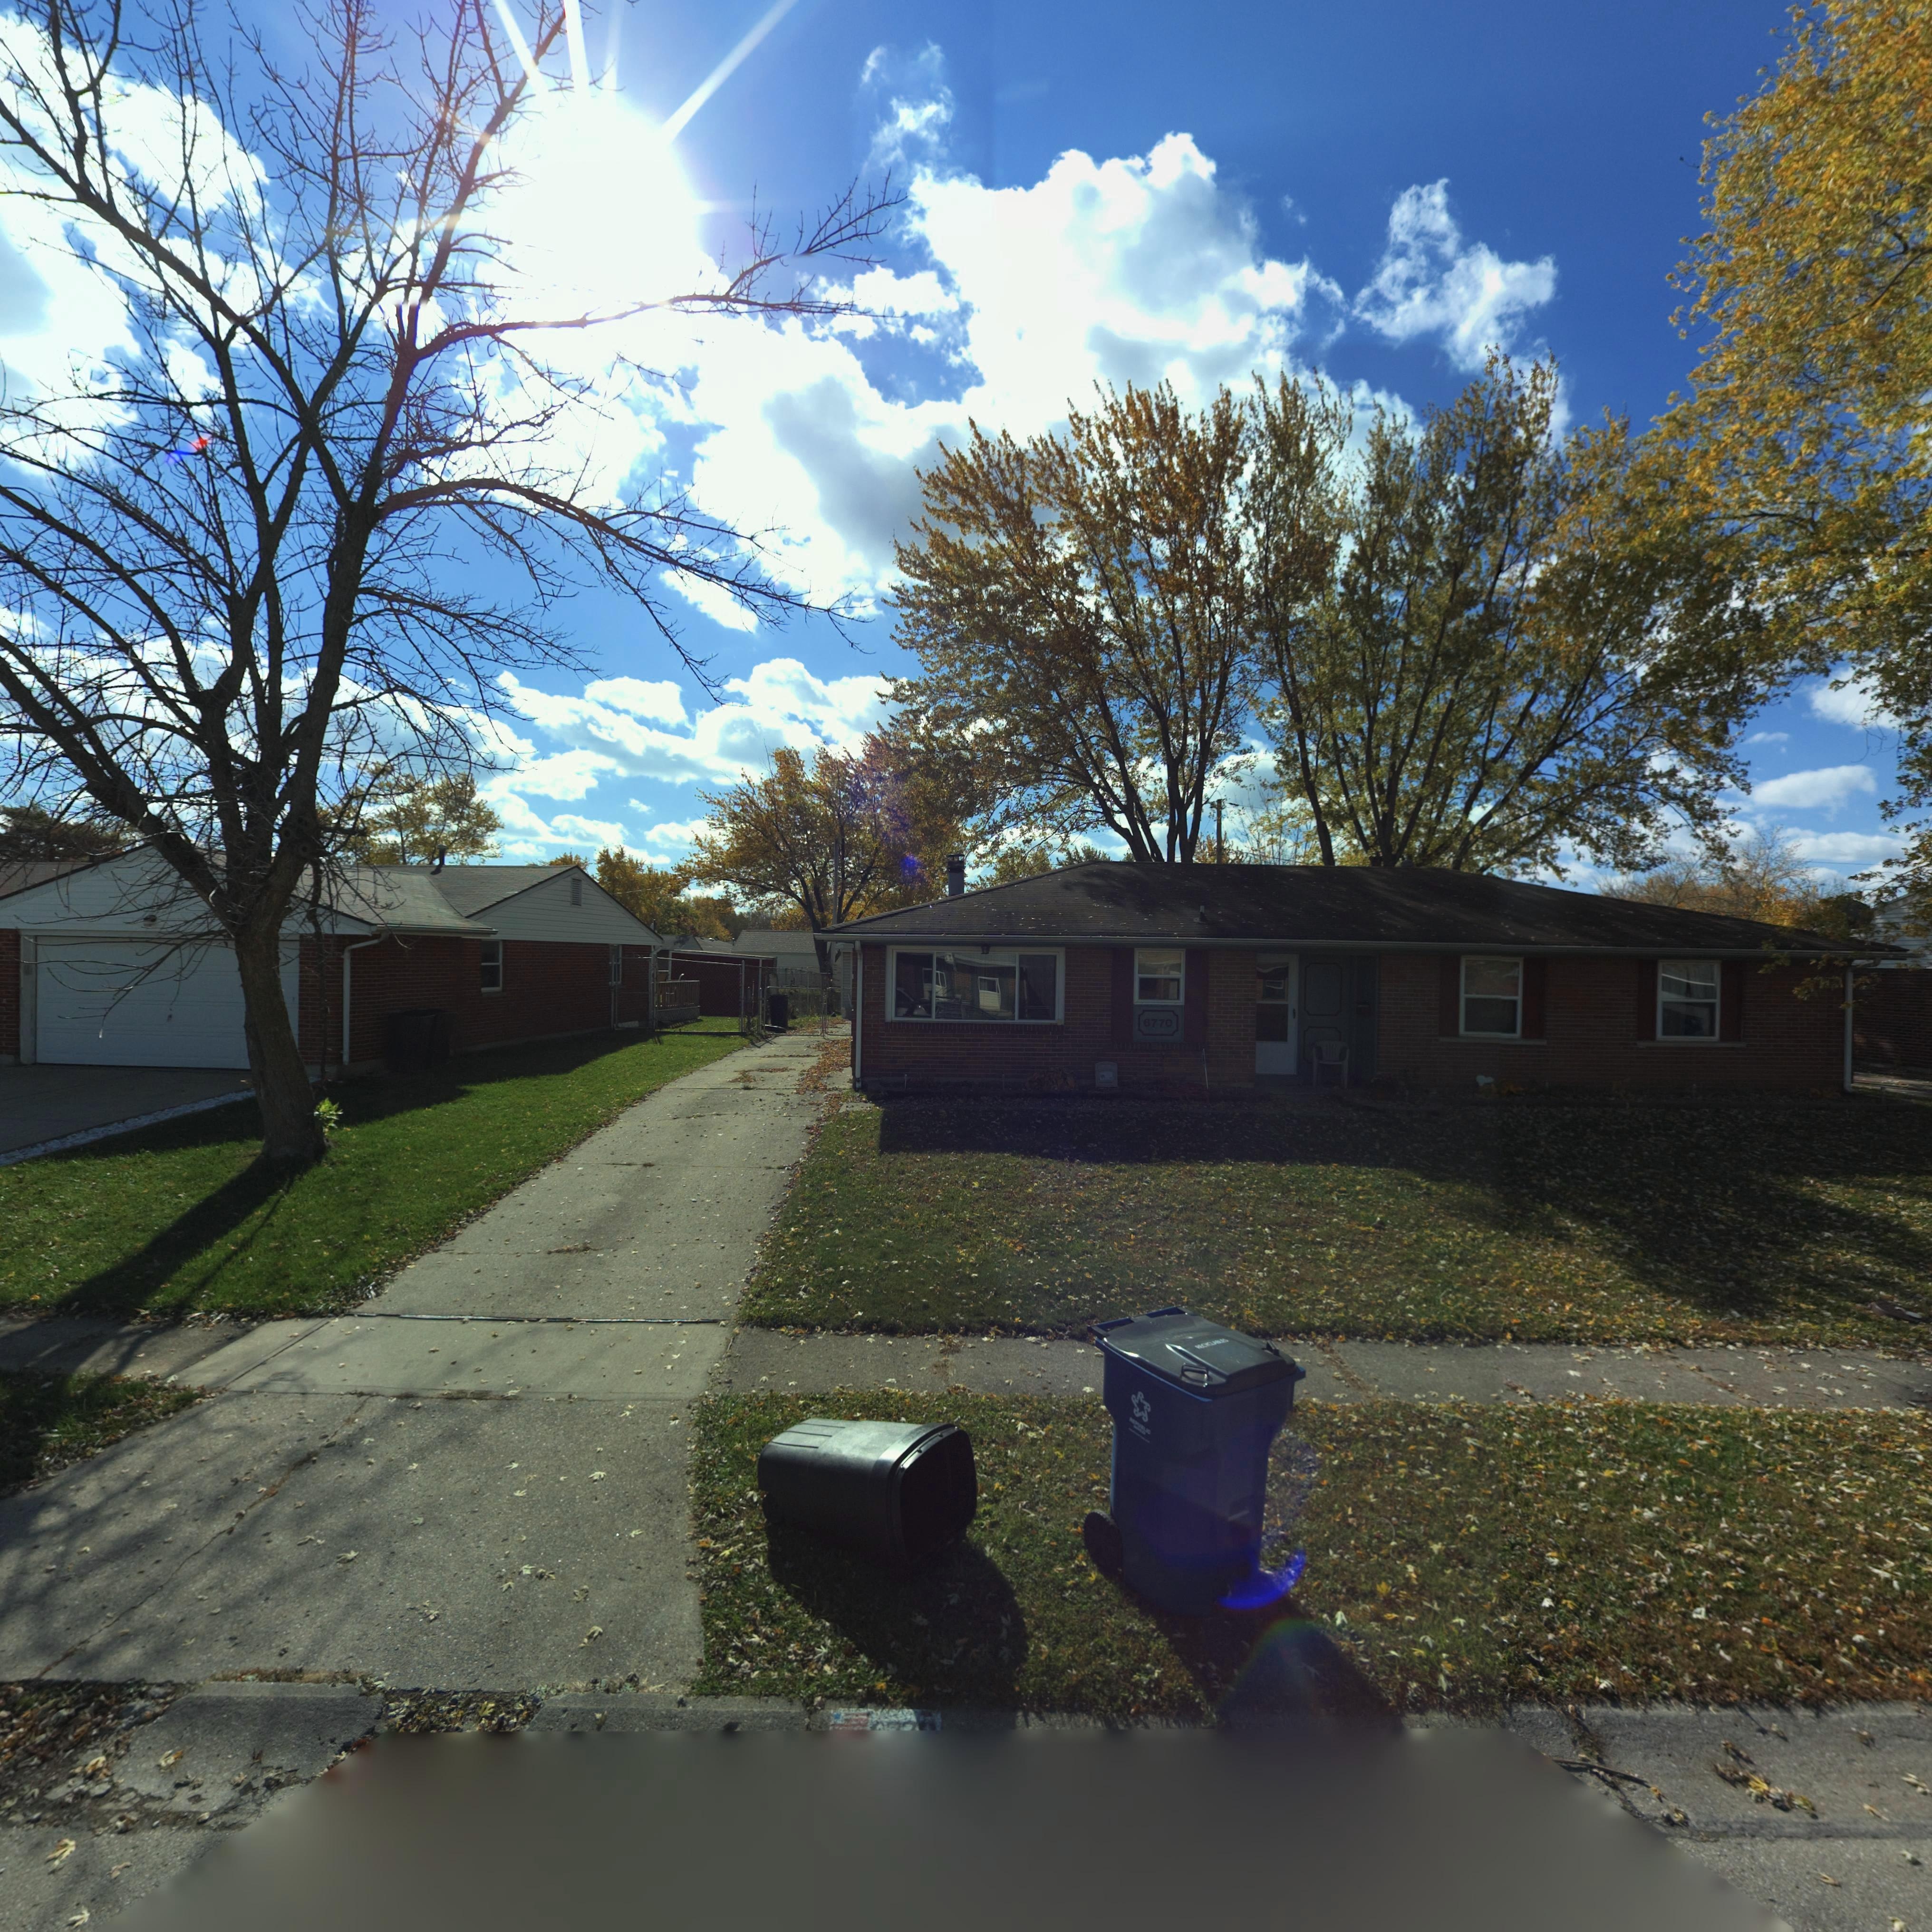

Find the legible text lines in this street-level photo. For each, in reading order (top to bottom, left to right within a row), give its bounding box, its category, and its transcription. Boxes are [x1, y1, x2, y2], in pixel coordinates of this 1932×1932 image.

[1142, 1018, 1173, 1027] StreetNumber: 6770